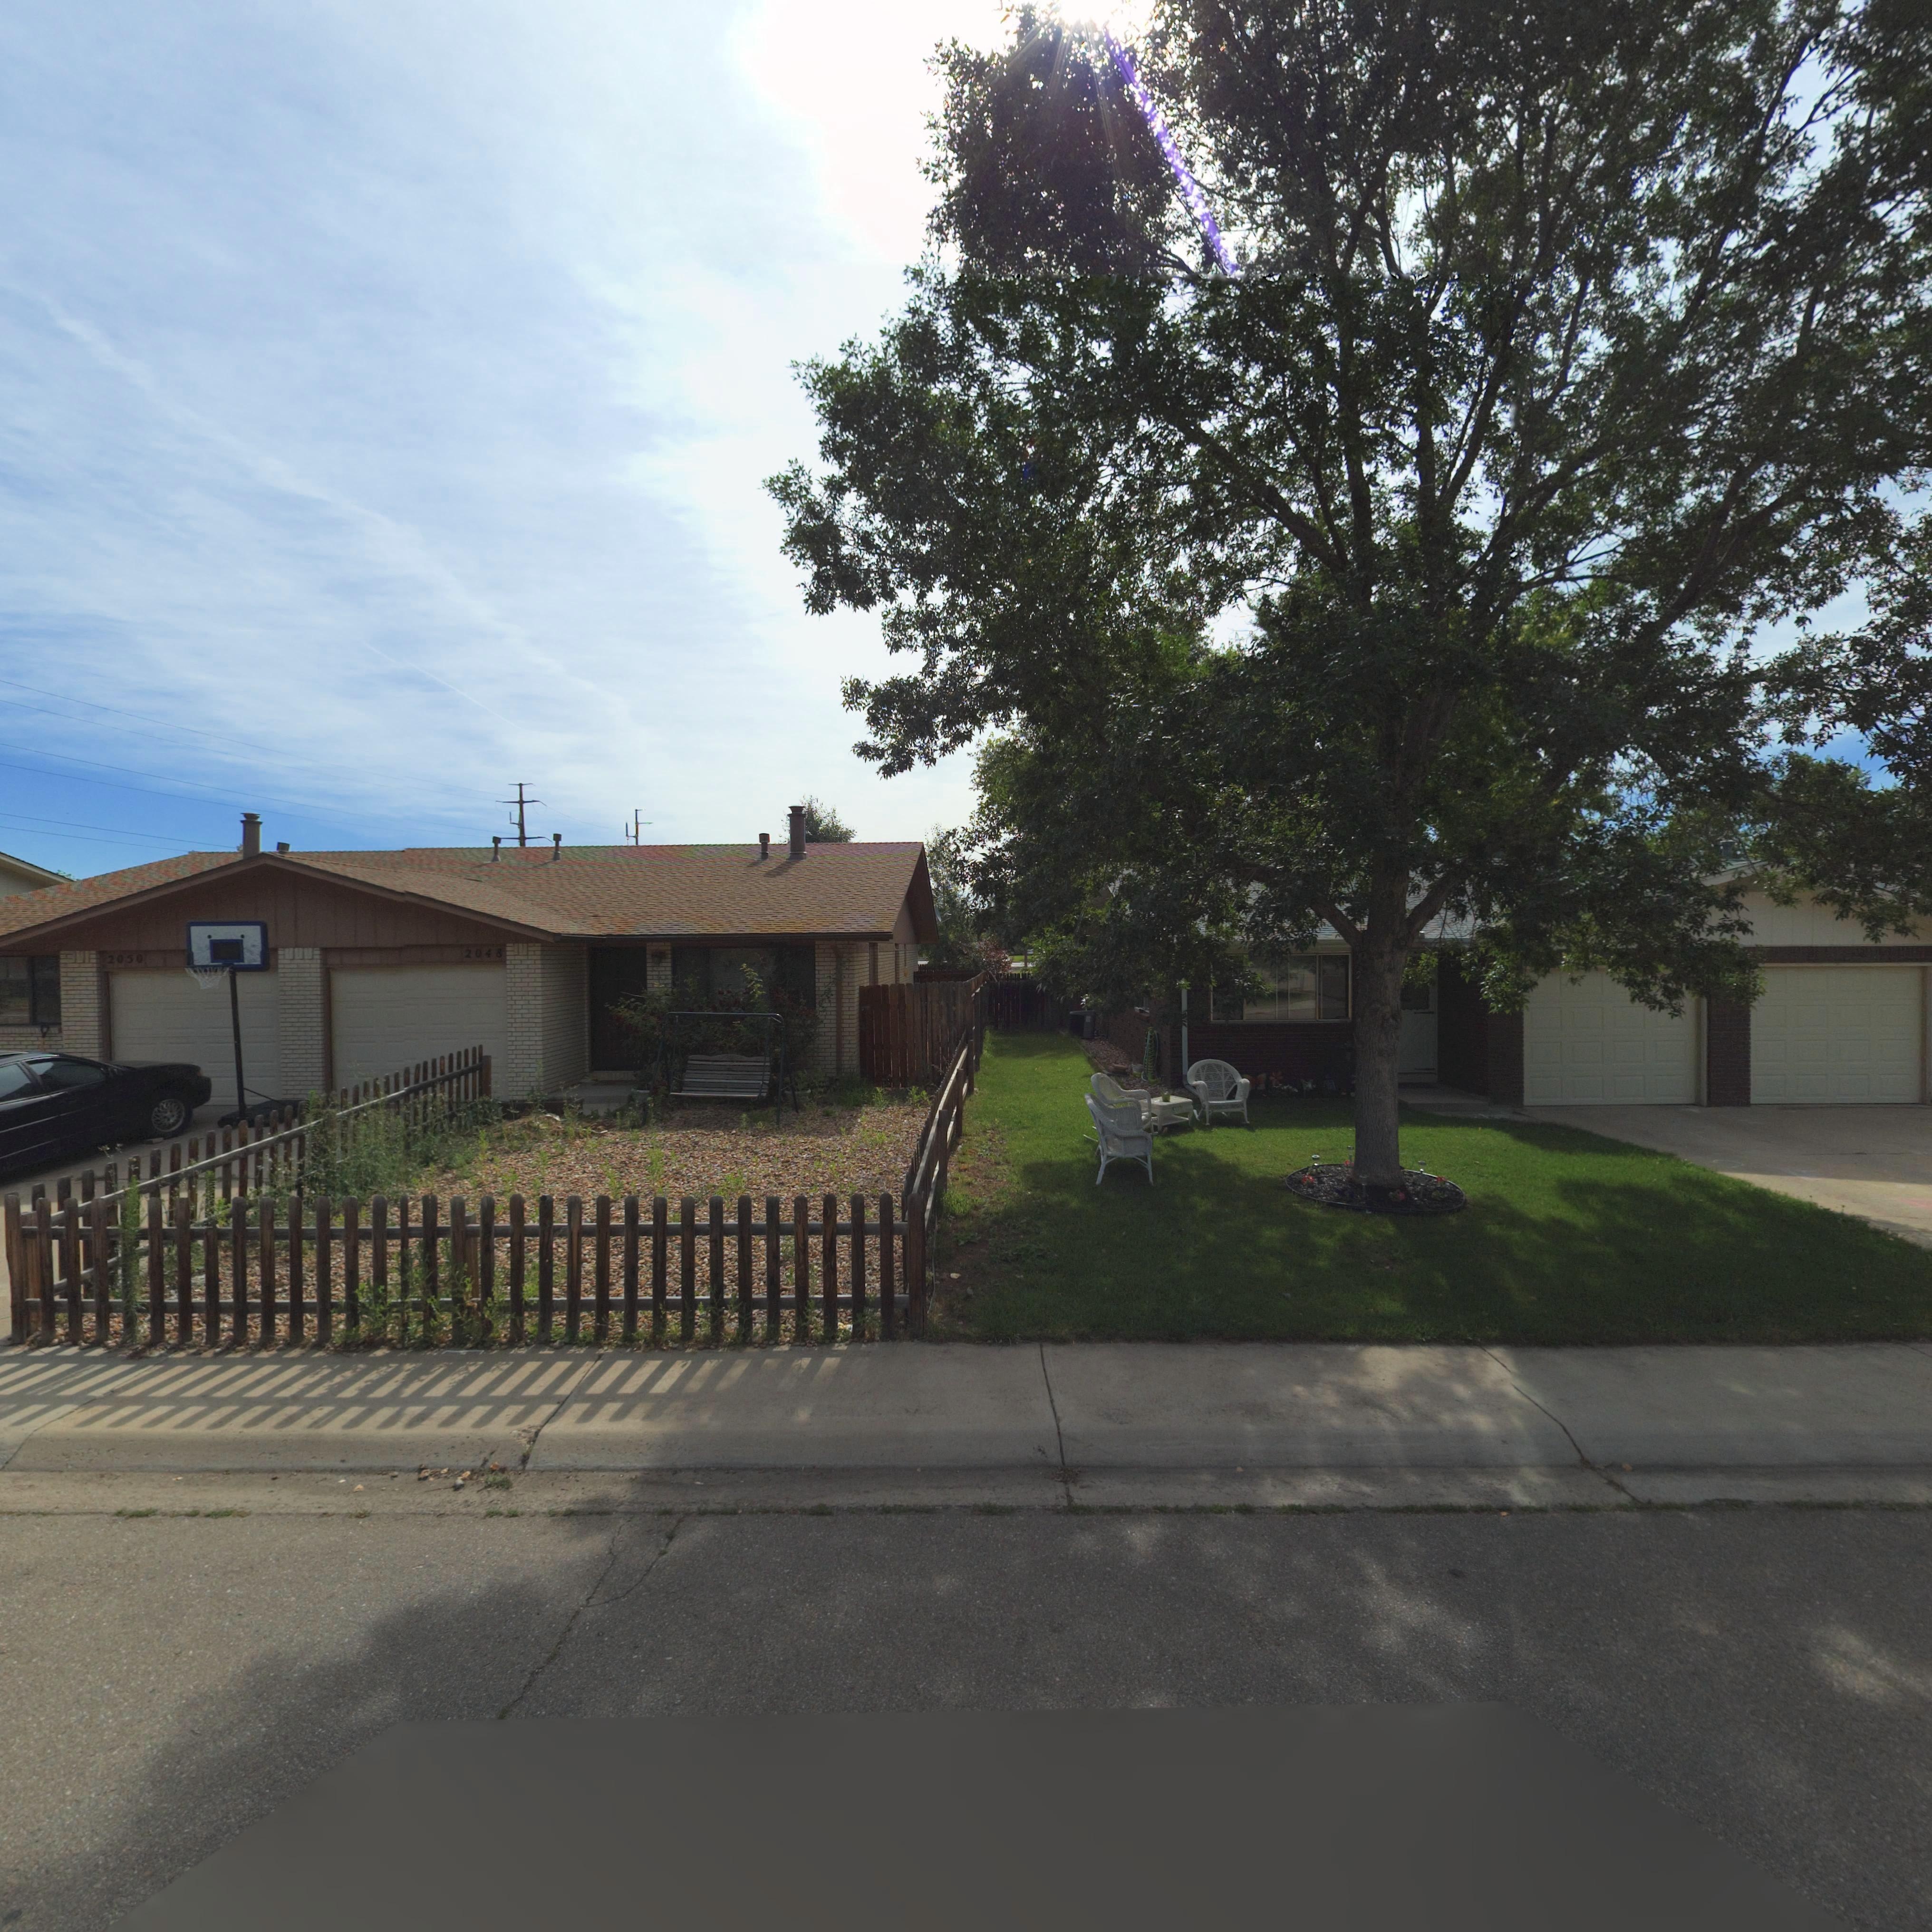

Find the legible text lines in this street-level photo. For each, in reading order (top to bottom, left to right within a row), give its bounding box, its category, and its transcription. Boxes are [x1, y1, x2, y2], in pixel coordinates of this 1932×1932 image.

[106, 953, 144, 964] StreetNumber: 2050
[464, 947, 502, 958] StreetNumber: 2048